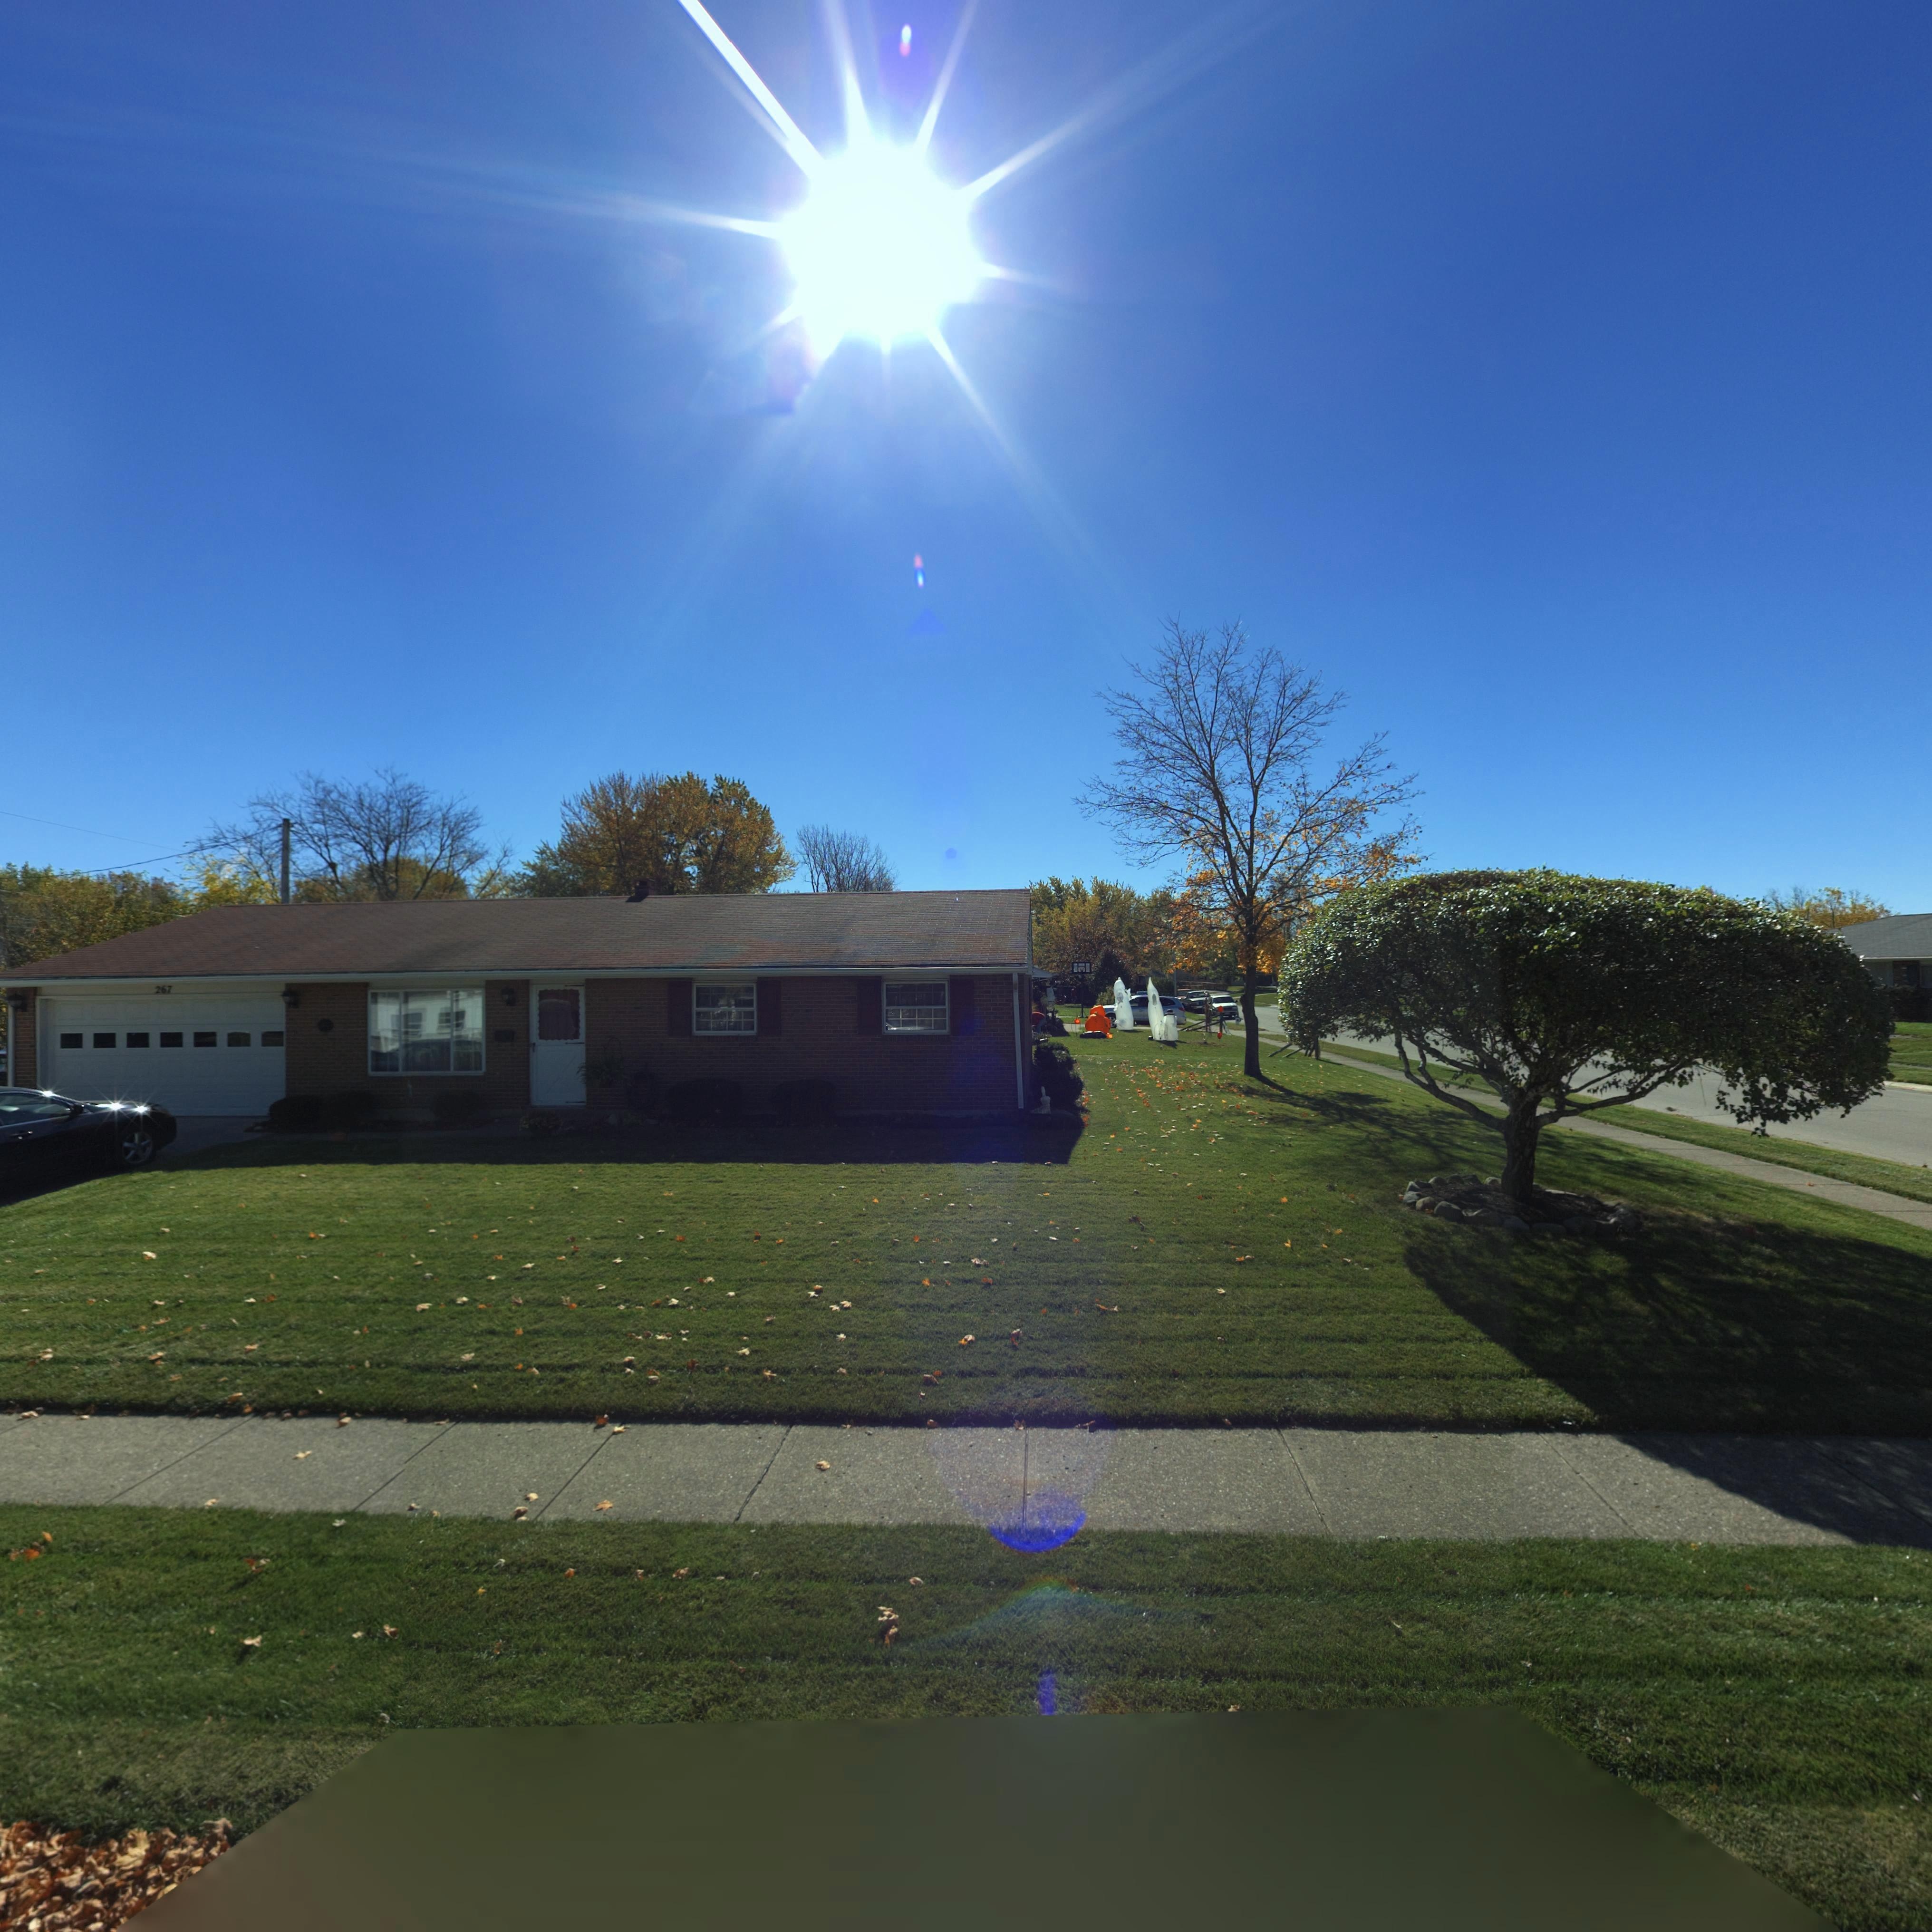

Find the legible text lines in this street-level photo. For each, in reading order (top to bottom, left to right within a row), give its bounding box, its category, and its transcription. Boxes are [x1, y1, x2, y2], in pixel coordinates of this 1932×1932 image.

[155, 985, 173, 994] StreetNumber: 267